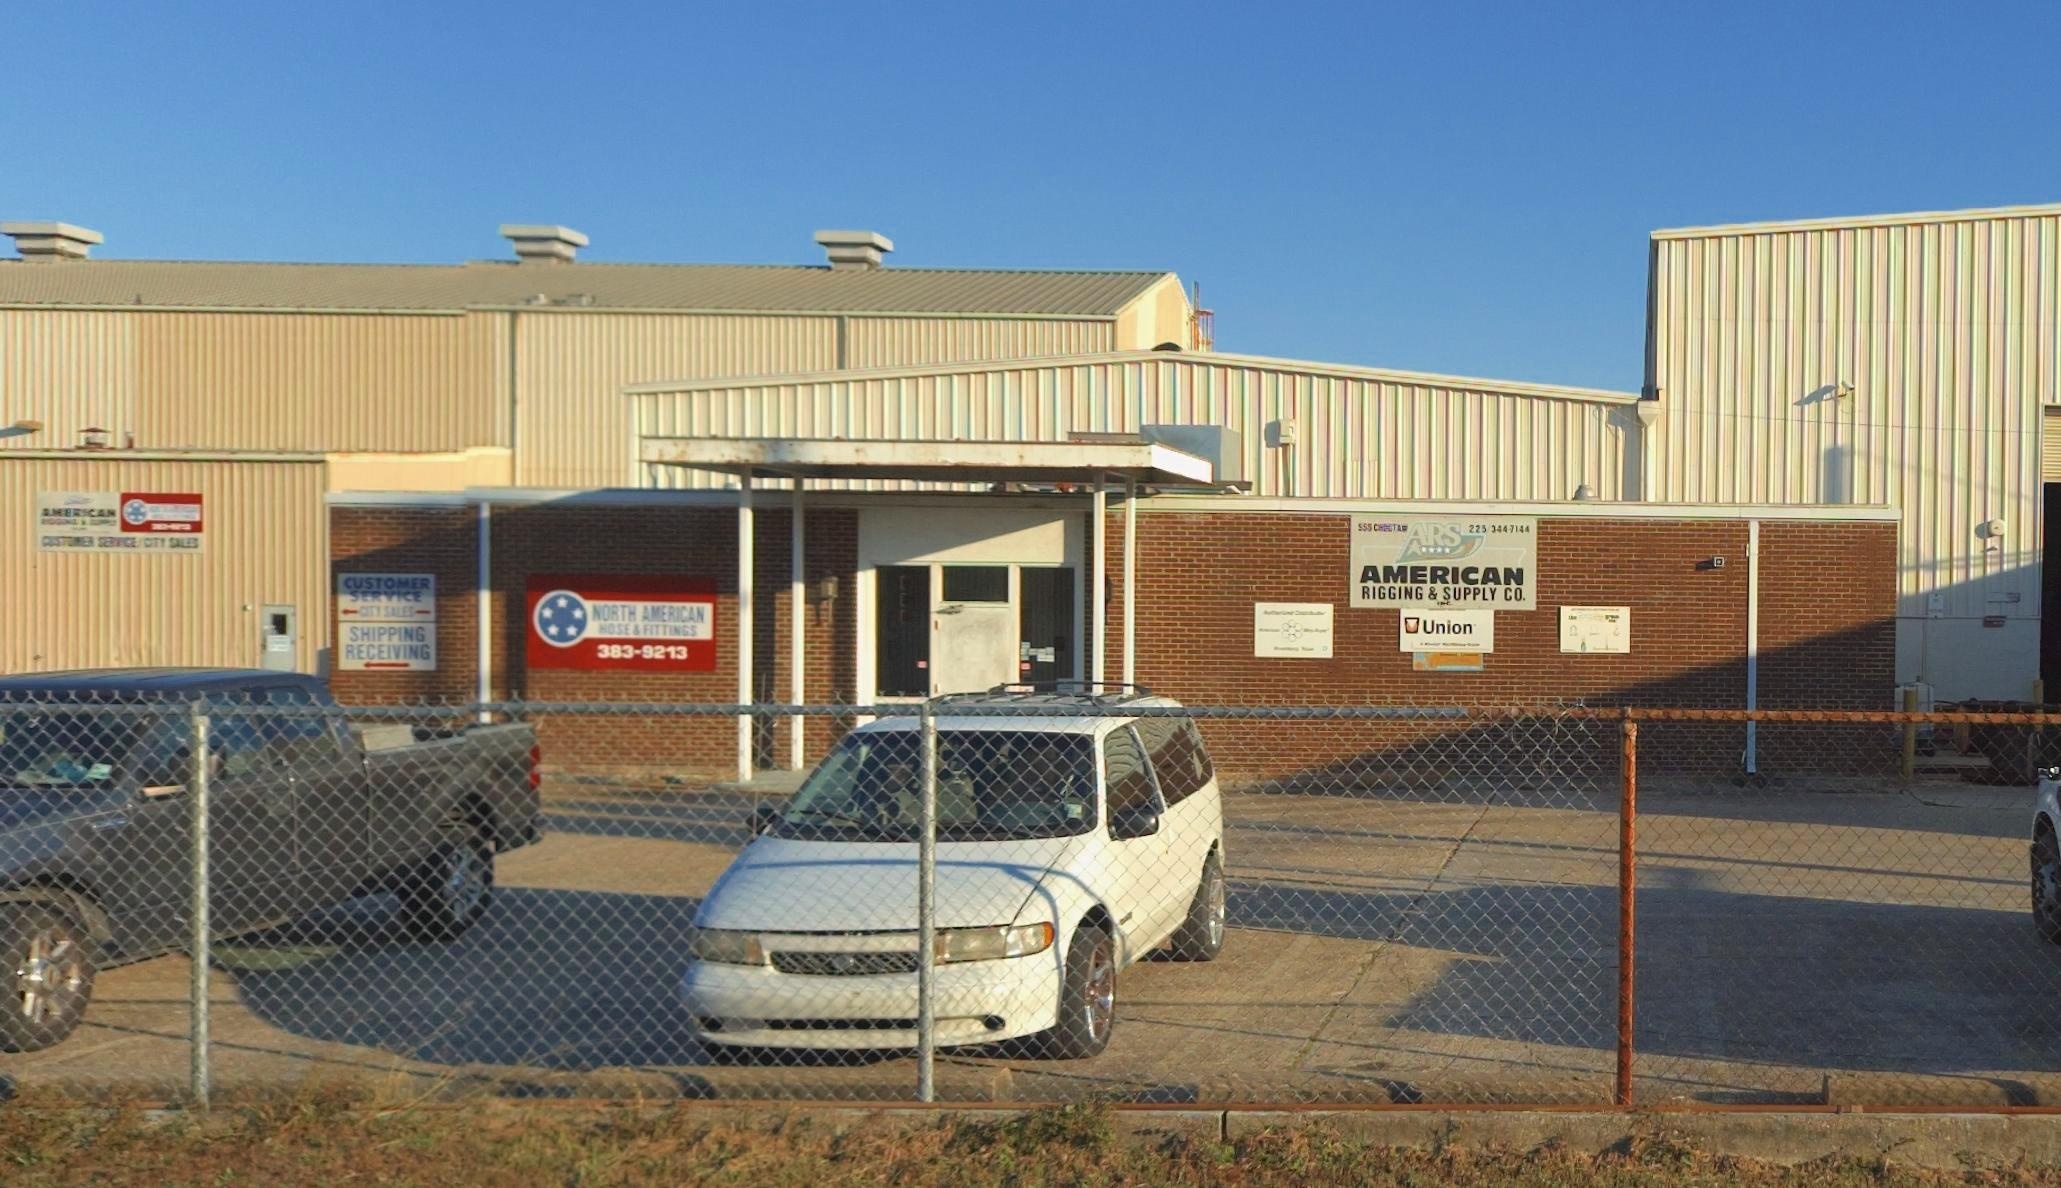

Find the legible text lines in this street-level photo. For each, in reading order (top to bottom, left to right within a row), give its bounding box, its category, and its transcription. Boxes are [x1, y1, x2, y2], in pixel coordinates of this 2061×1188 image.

[39, 505, 118, 521] BusinessName: AM***CAN
[1400, 520, 1465, 549] None: ARS
[1466, 521, 1532, 536] None: 225 344-714*
[340, 573, 433, 592] None: CUSTOMER
[1355, 563, 1526, 588] BusinessName: AMERICAN
[347, 589, 425, 605] None: SERVICE
[1359, 584, 1529, 604] BusinessName: RIGGING & SUPPLY CO.
[589, 601, 707, 626] BusinessName: NORTH AMERICAN
[345, 623, 429, 644] None: SHIPPING
[597, 620, 701, 639] BusinessName: *OSE & FITTINGS
[1420, 616, 1476, 637] None: Union
[343, 642, 433, 663] None: RECEIVING
[594, 641, 692, 663] None: 383-9213